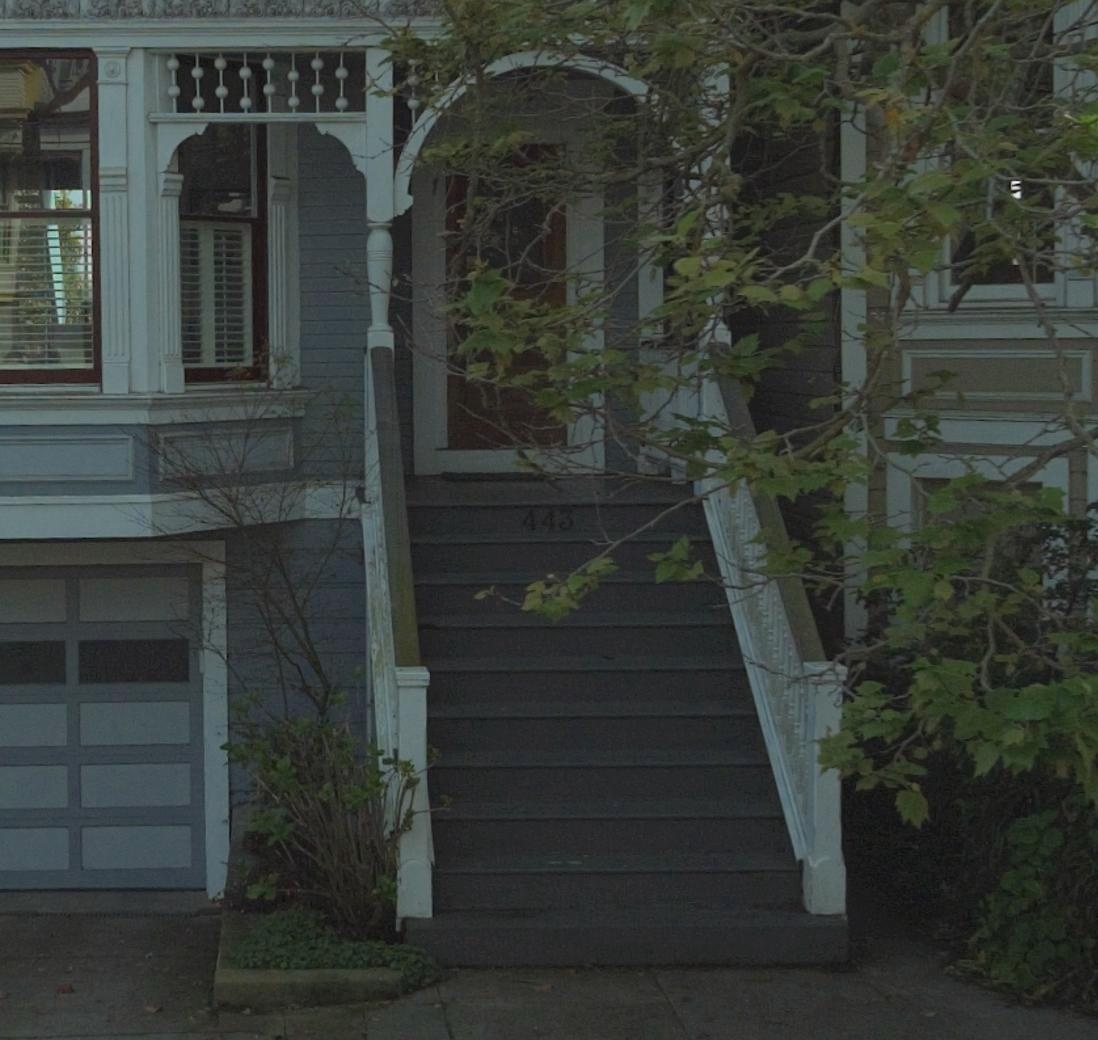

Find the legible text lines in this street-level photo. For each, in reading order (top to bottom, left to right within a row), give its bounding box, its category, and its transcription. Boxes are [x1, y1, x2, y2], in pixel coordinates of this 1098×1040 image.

[522, 506, 579, 532] StreetNumber: 443